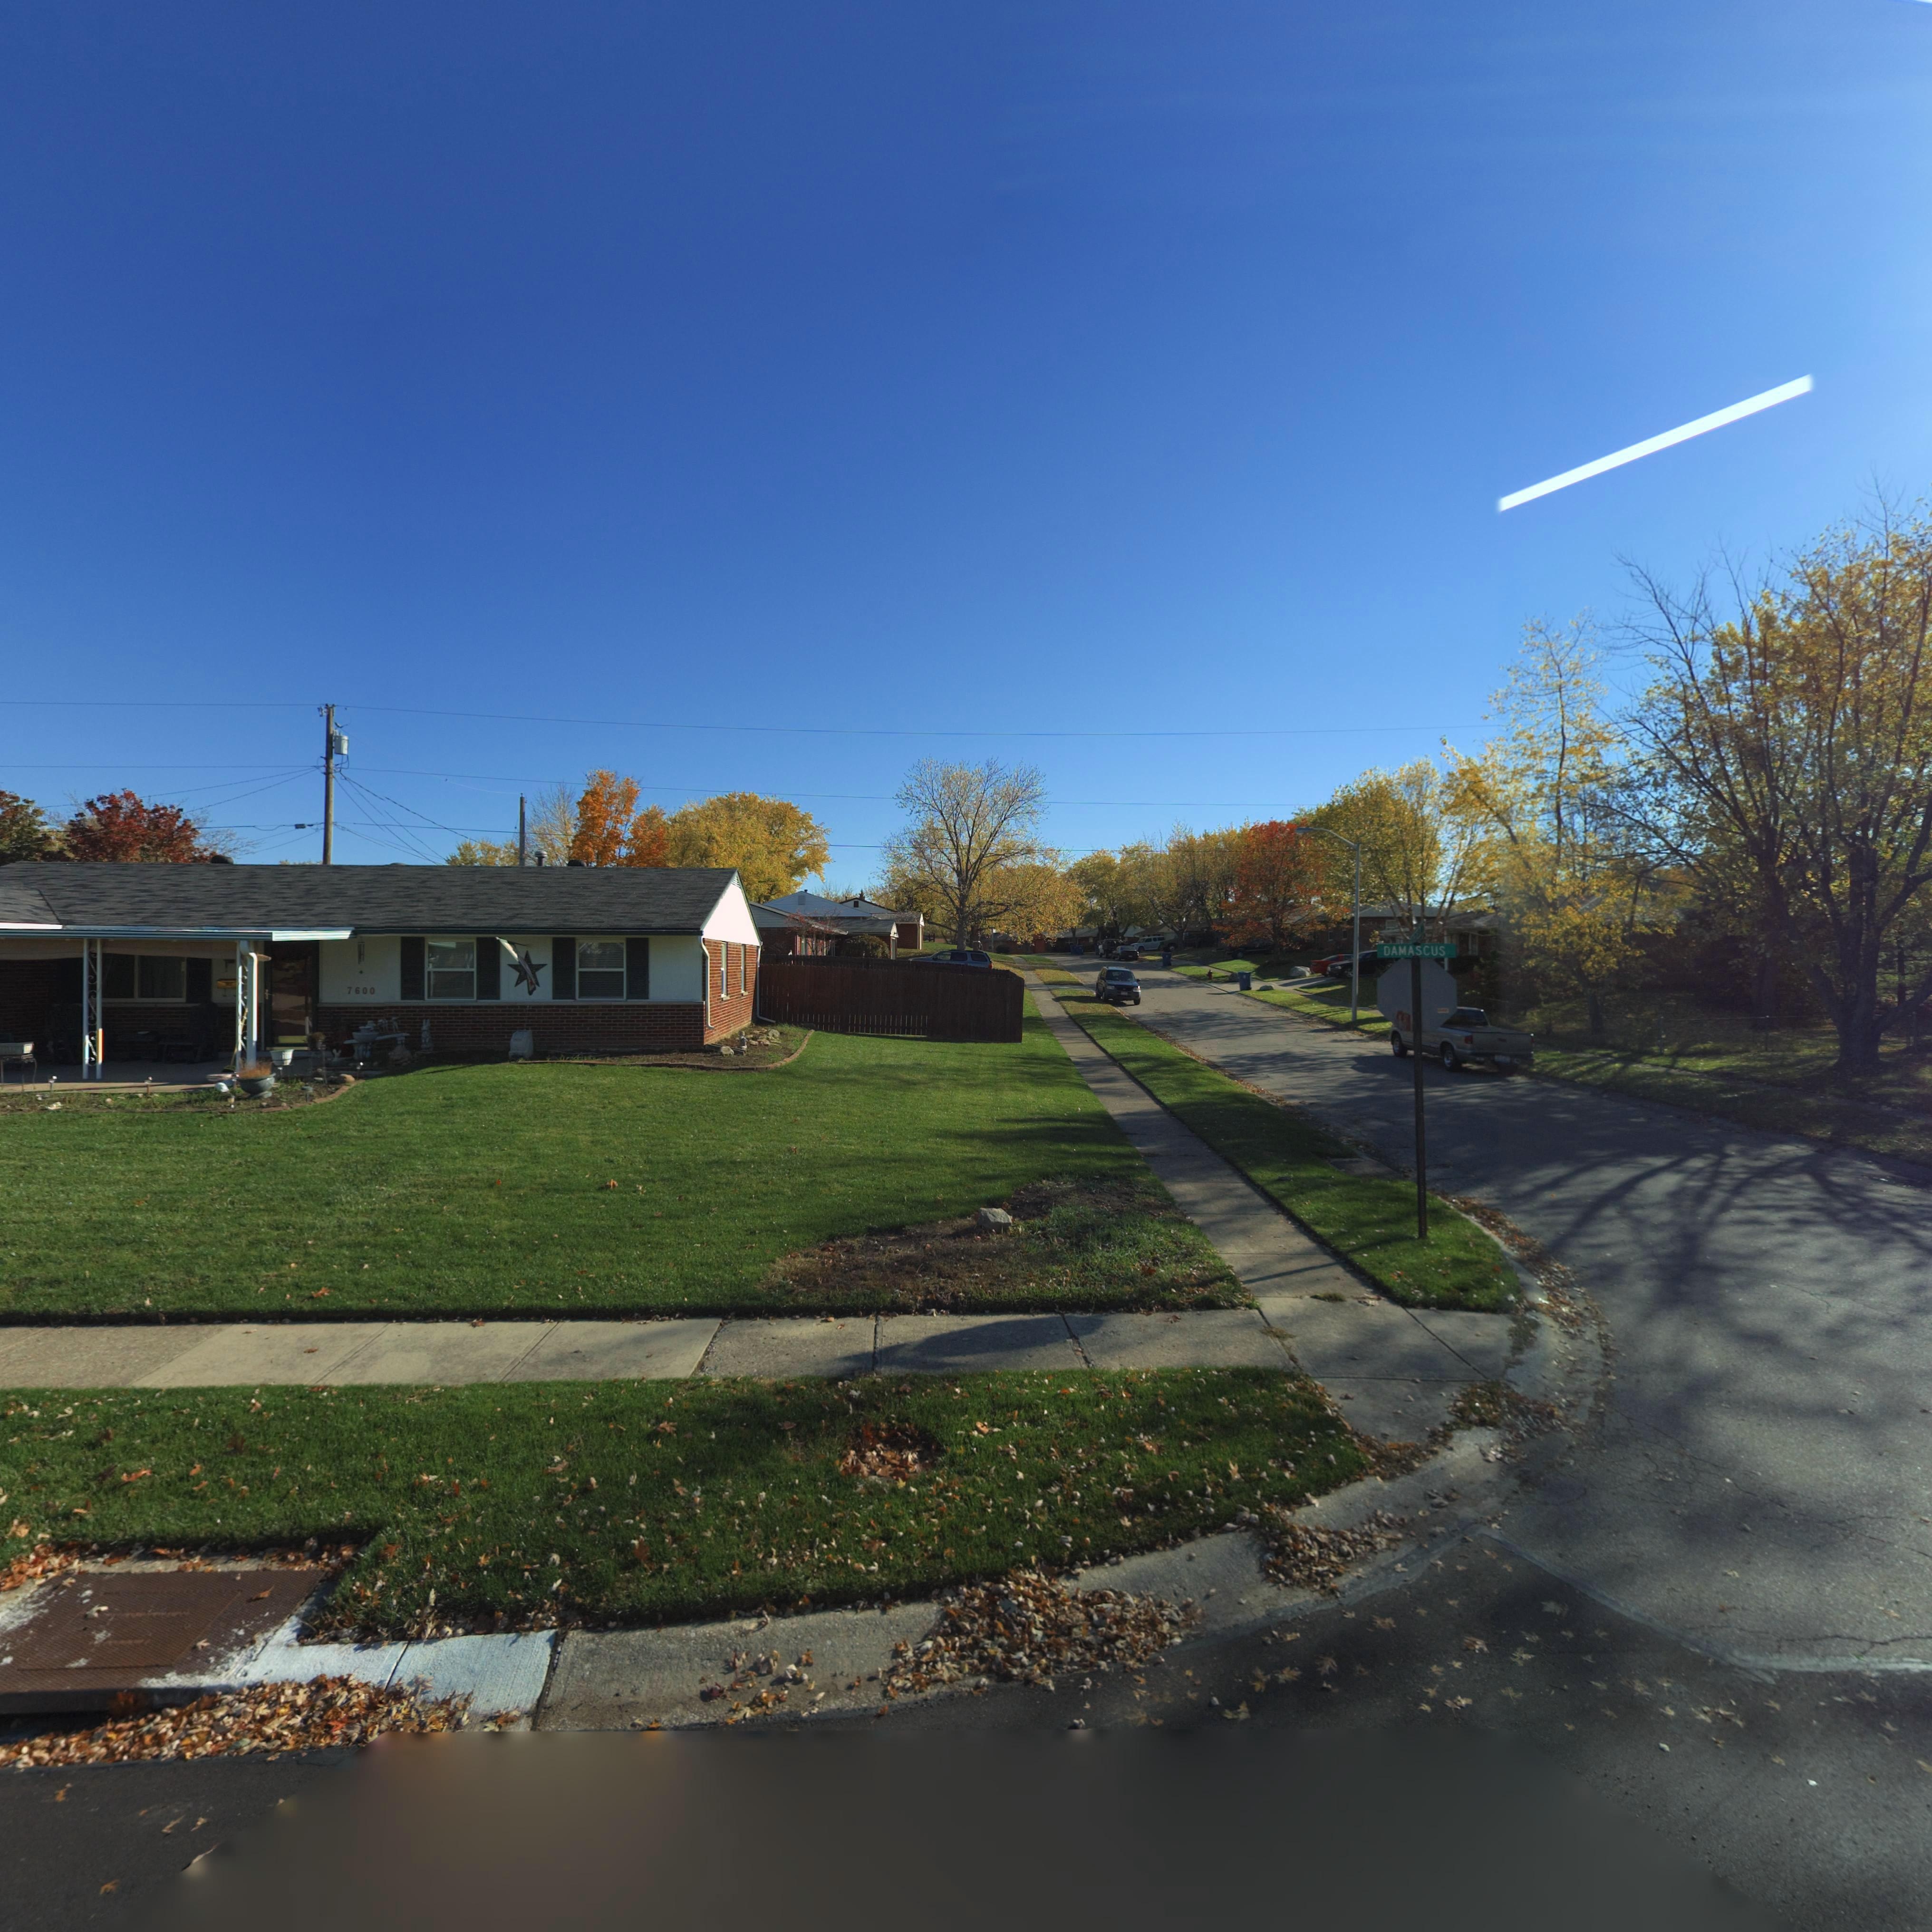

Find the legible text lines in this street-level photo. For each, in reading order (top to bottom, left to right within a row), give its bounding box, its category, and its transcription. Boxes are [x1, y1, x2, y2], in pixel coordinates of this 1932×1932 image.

[1382, 945, 1447, 957] StreetName: DAMASCUS
[347, 985, 376, 995] StreetNumber: 7600